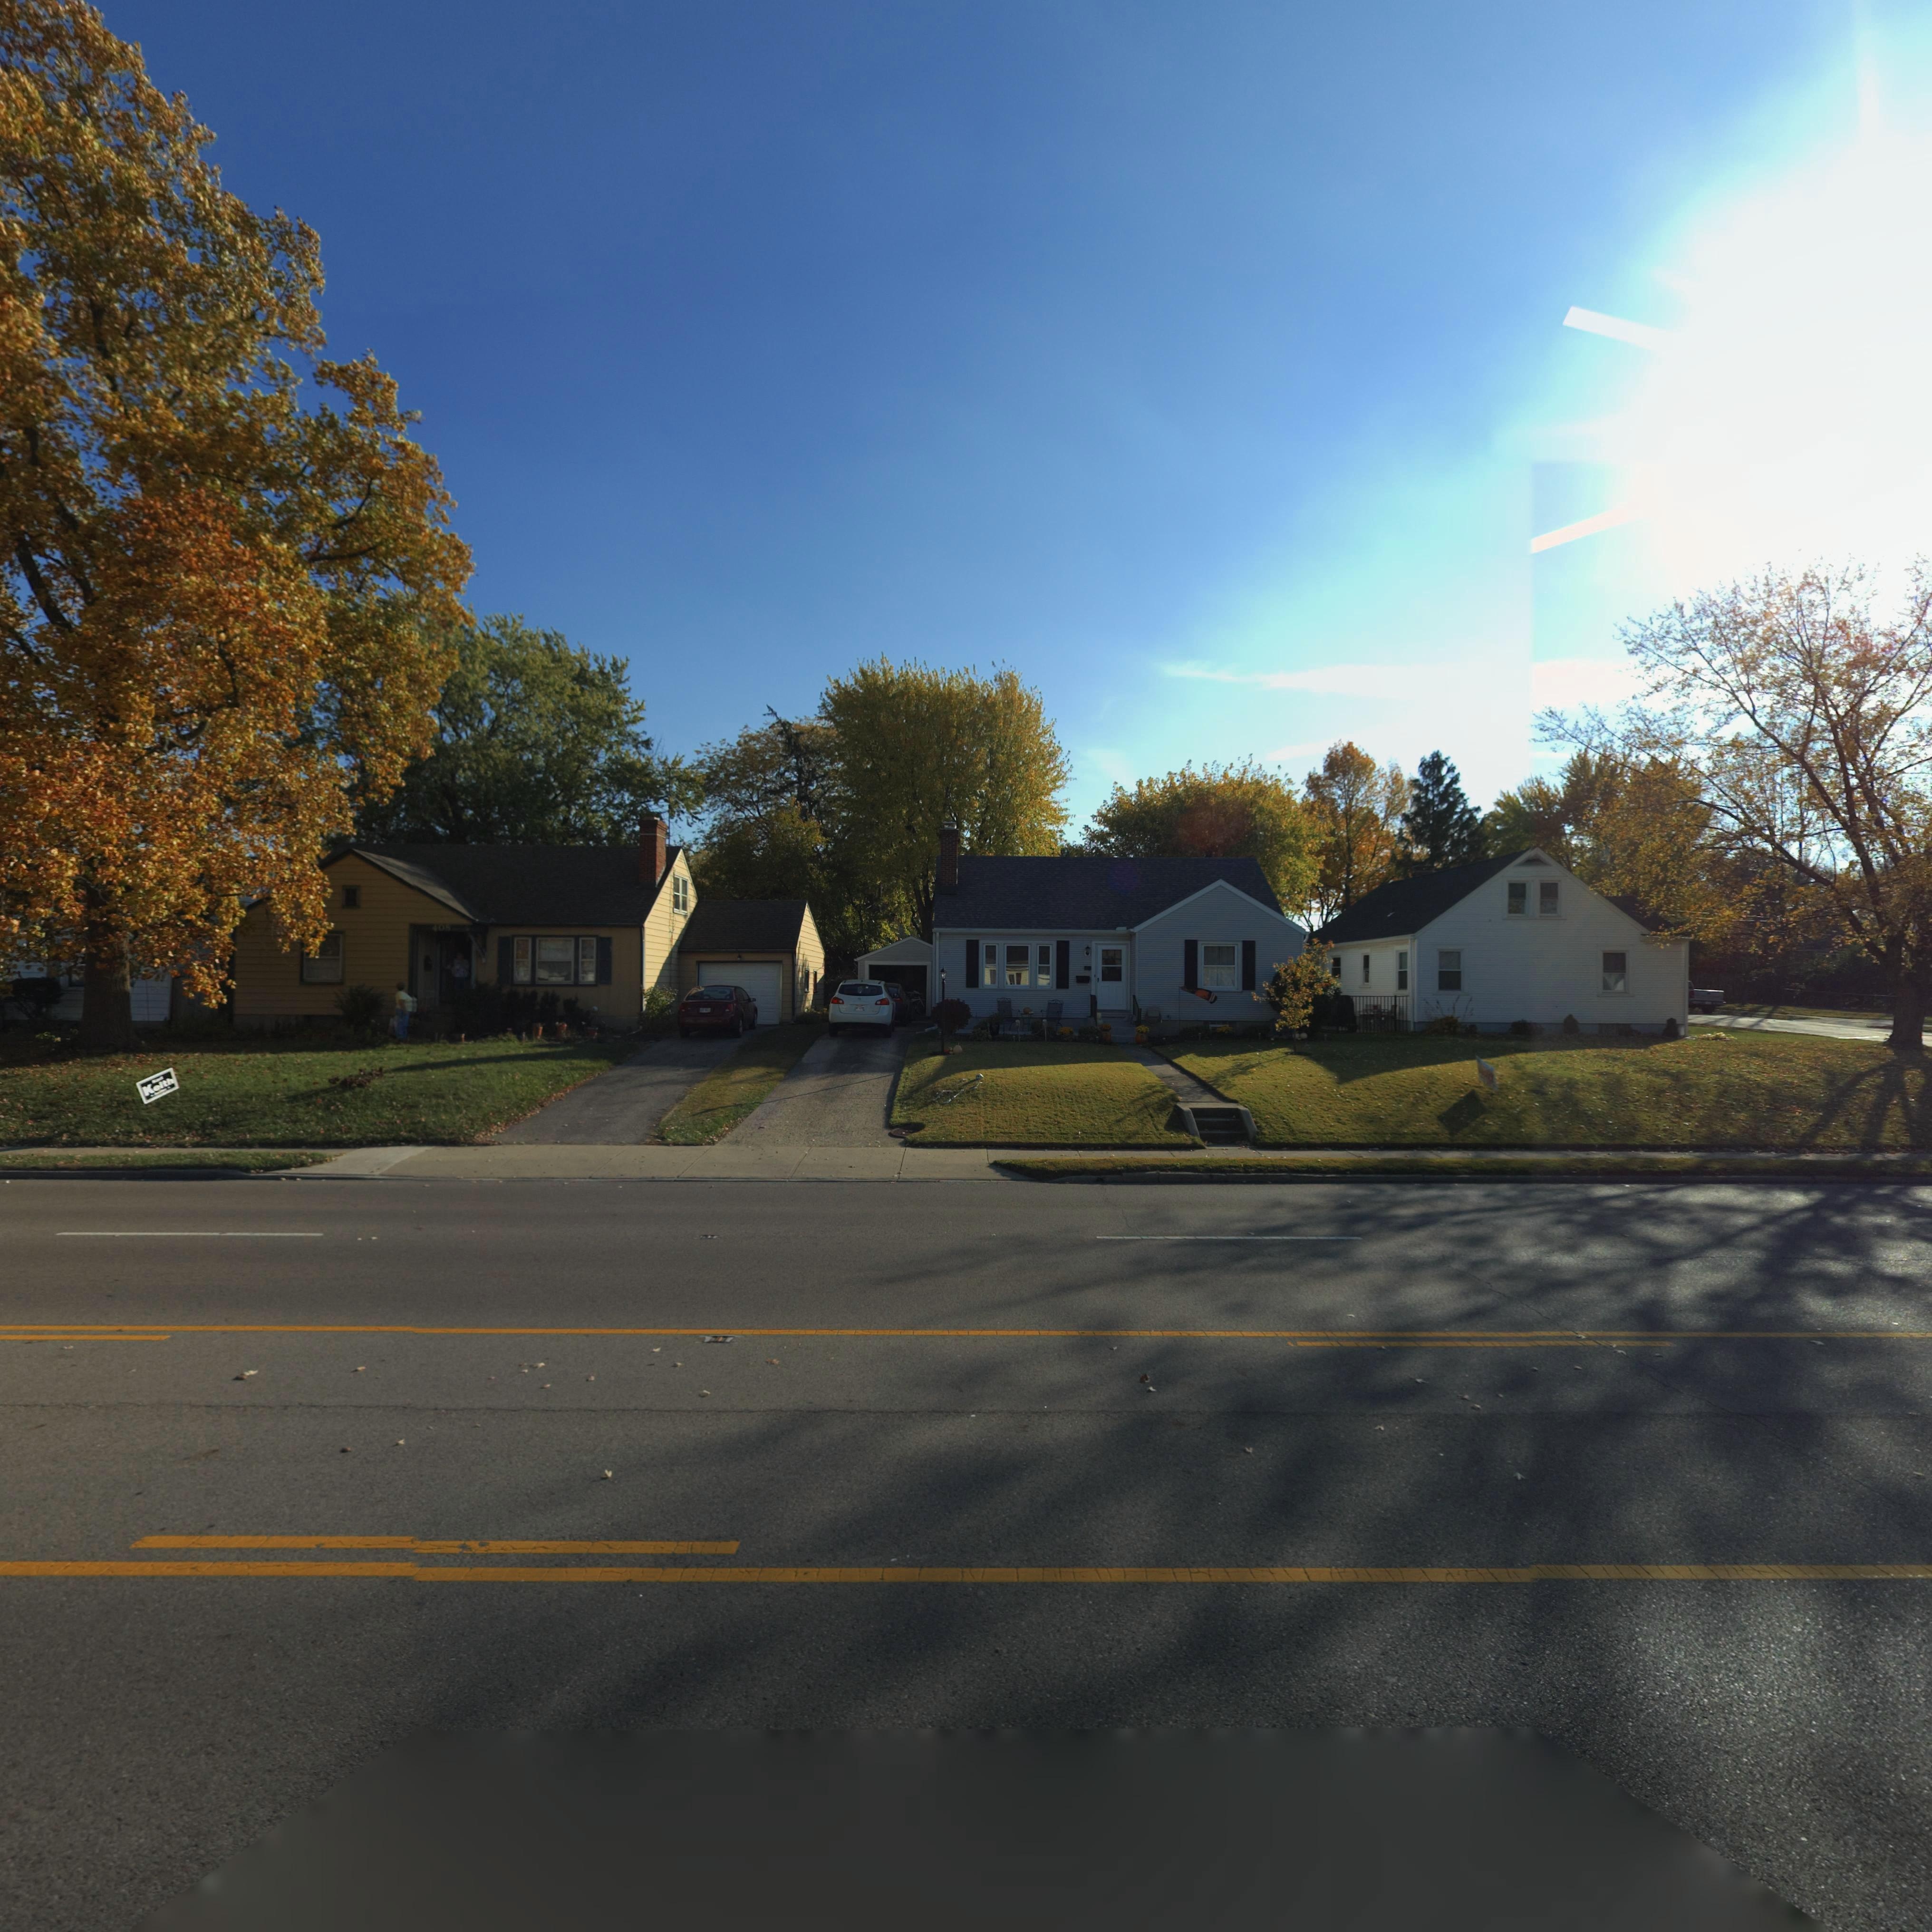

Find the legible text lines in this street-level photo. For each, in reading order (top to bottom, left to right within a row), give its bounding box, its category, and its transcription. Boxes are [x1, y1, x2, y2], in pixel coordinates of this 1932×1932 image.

[431, 923, 452, 932] StreetNumber: 408